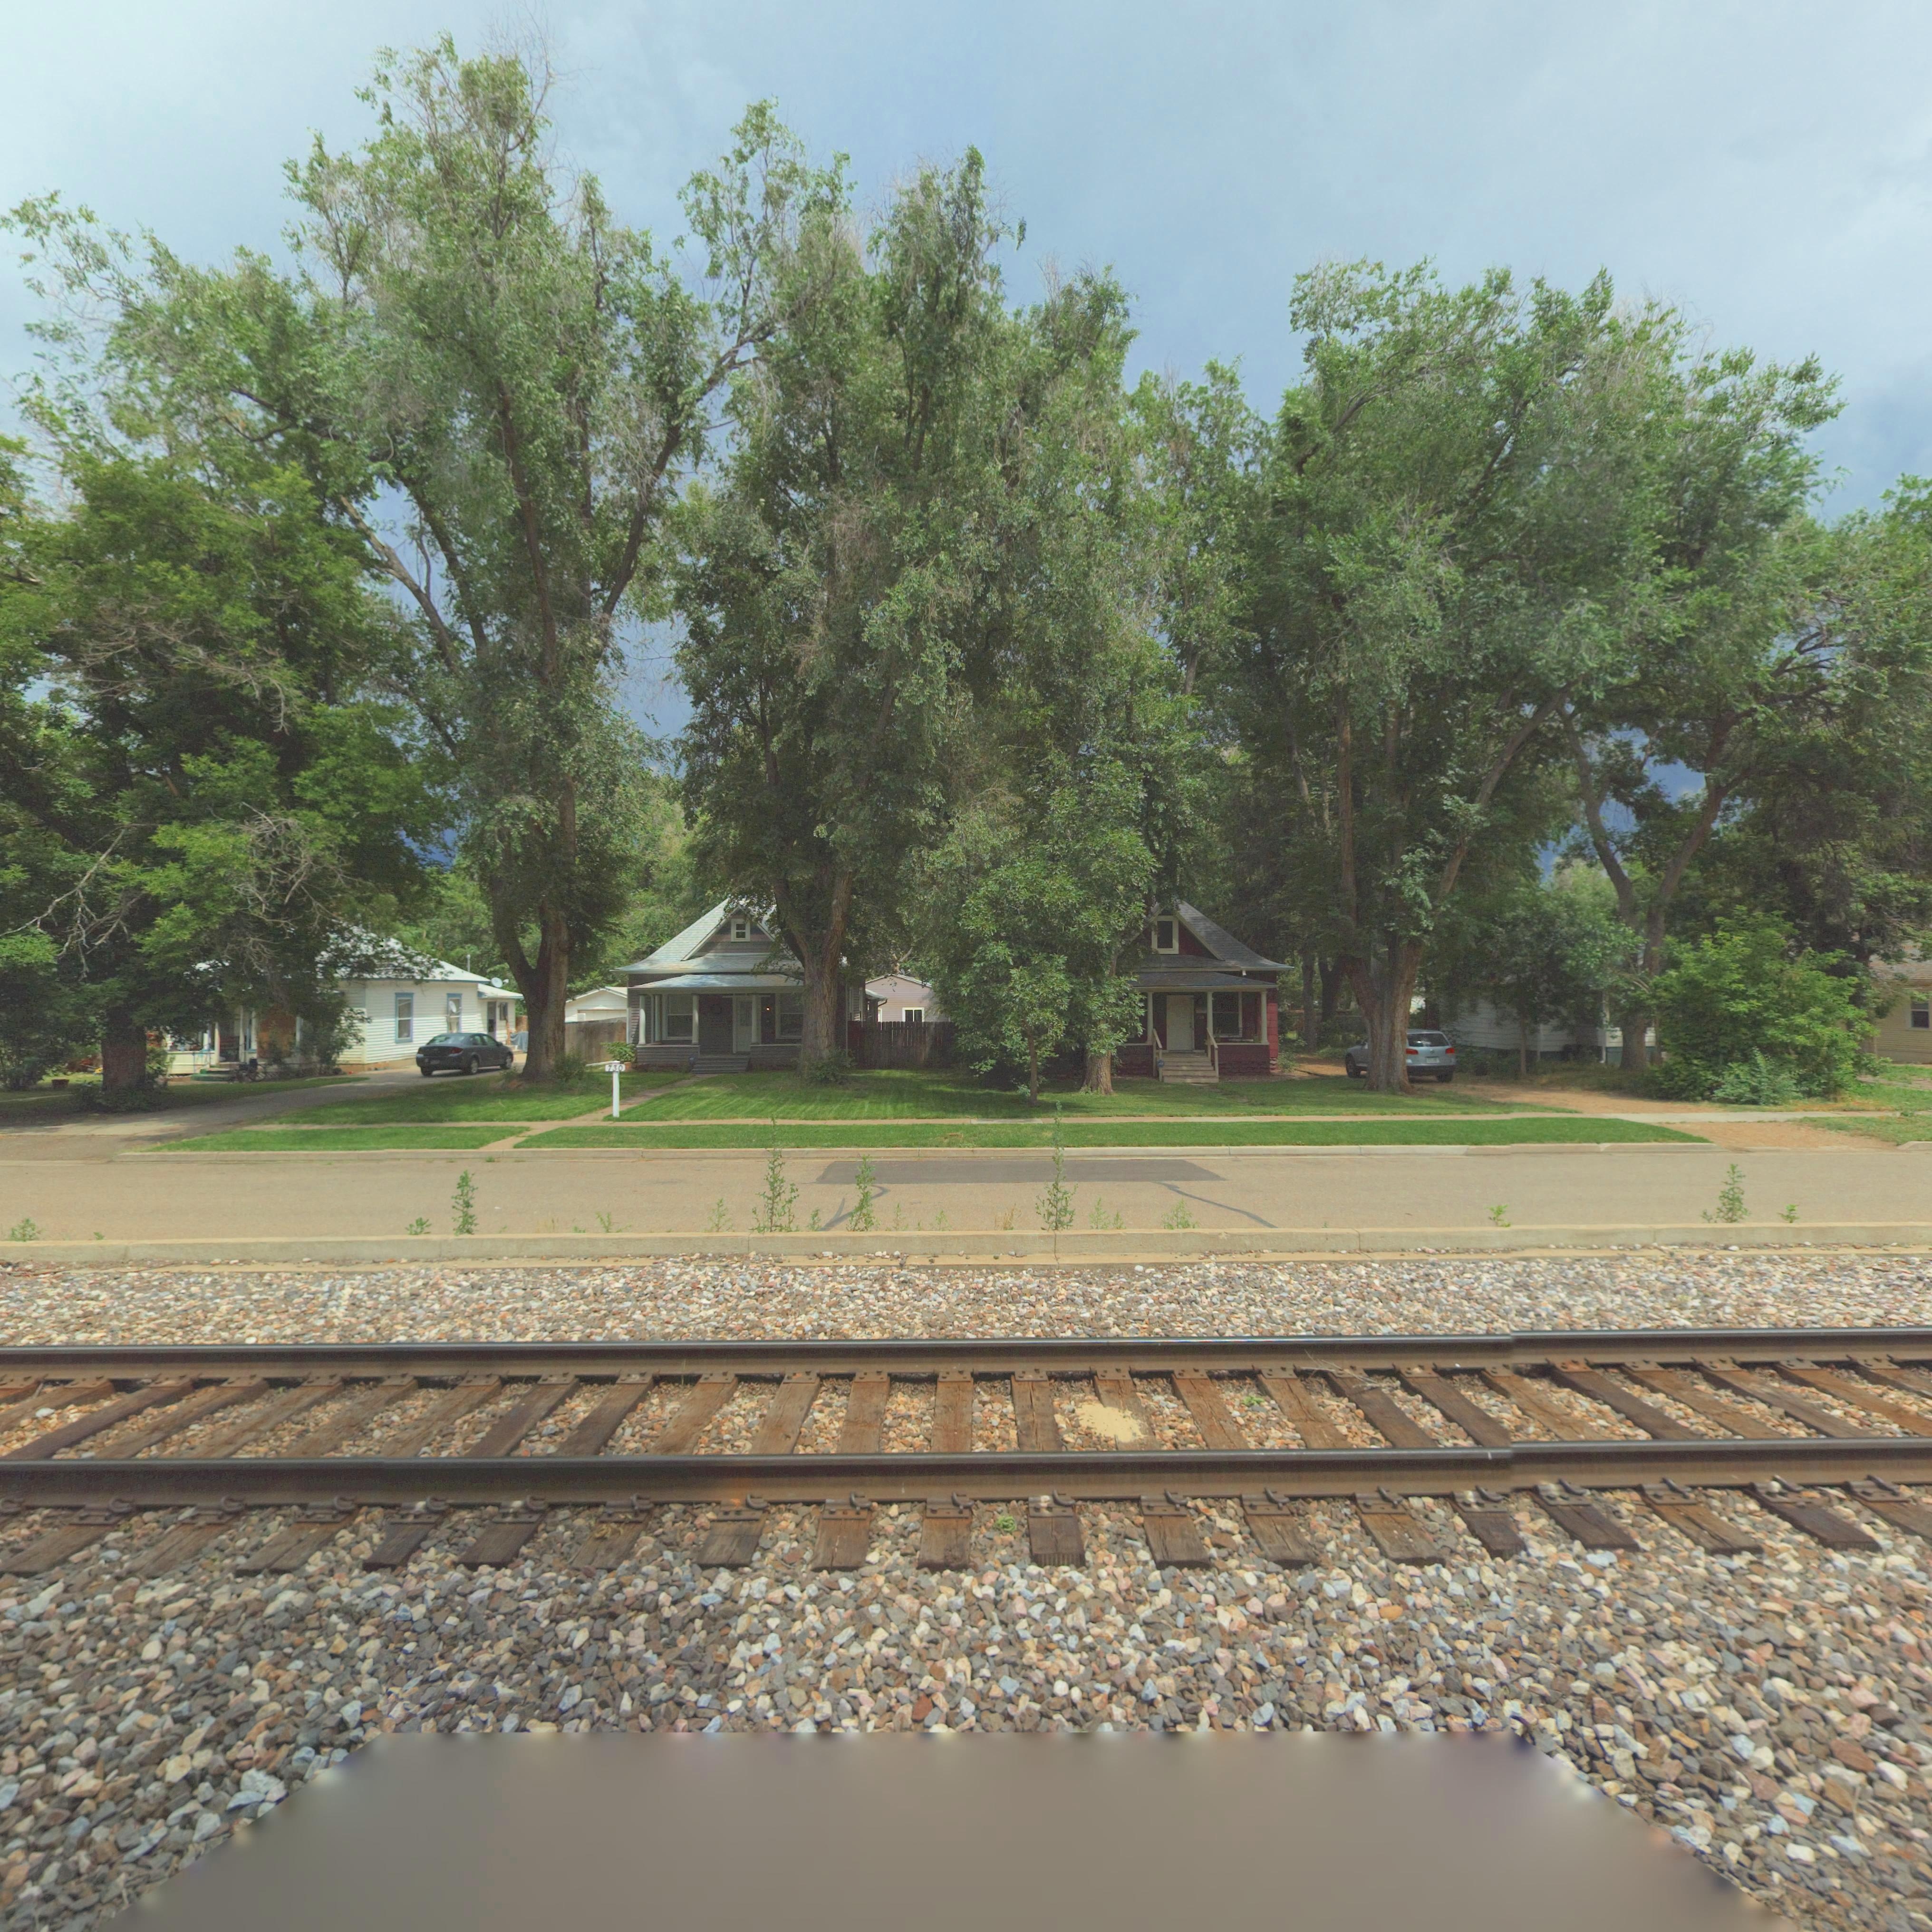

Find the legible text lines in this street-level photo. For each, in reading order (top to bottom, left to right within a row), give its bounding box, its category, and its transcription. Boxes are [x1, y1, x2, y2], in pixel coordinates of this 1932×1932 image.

[608, 1064, 623, 1071] StreetNumber: 730